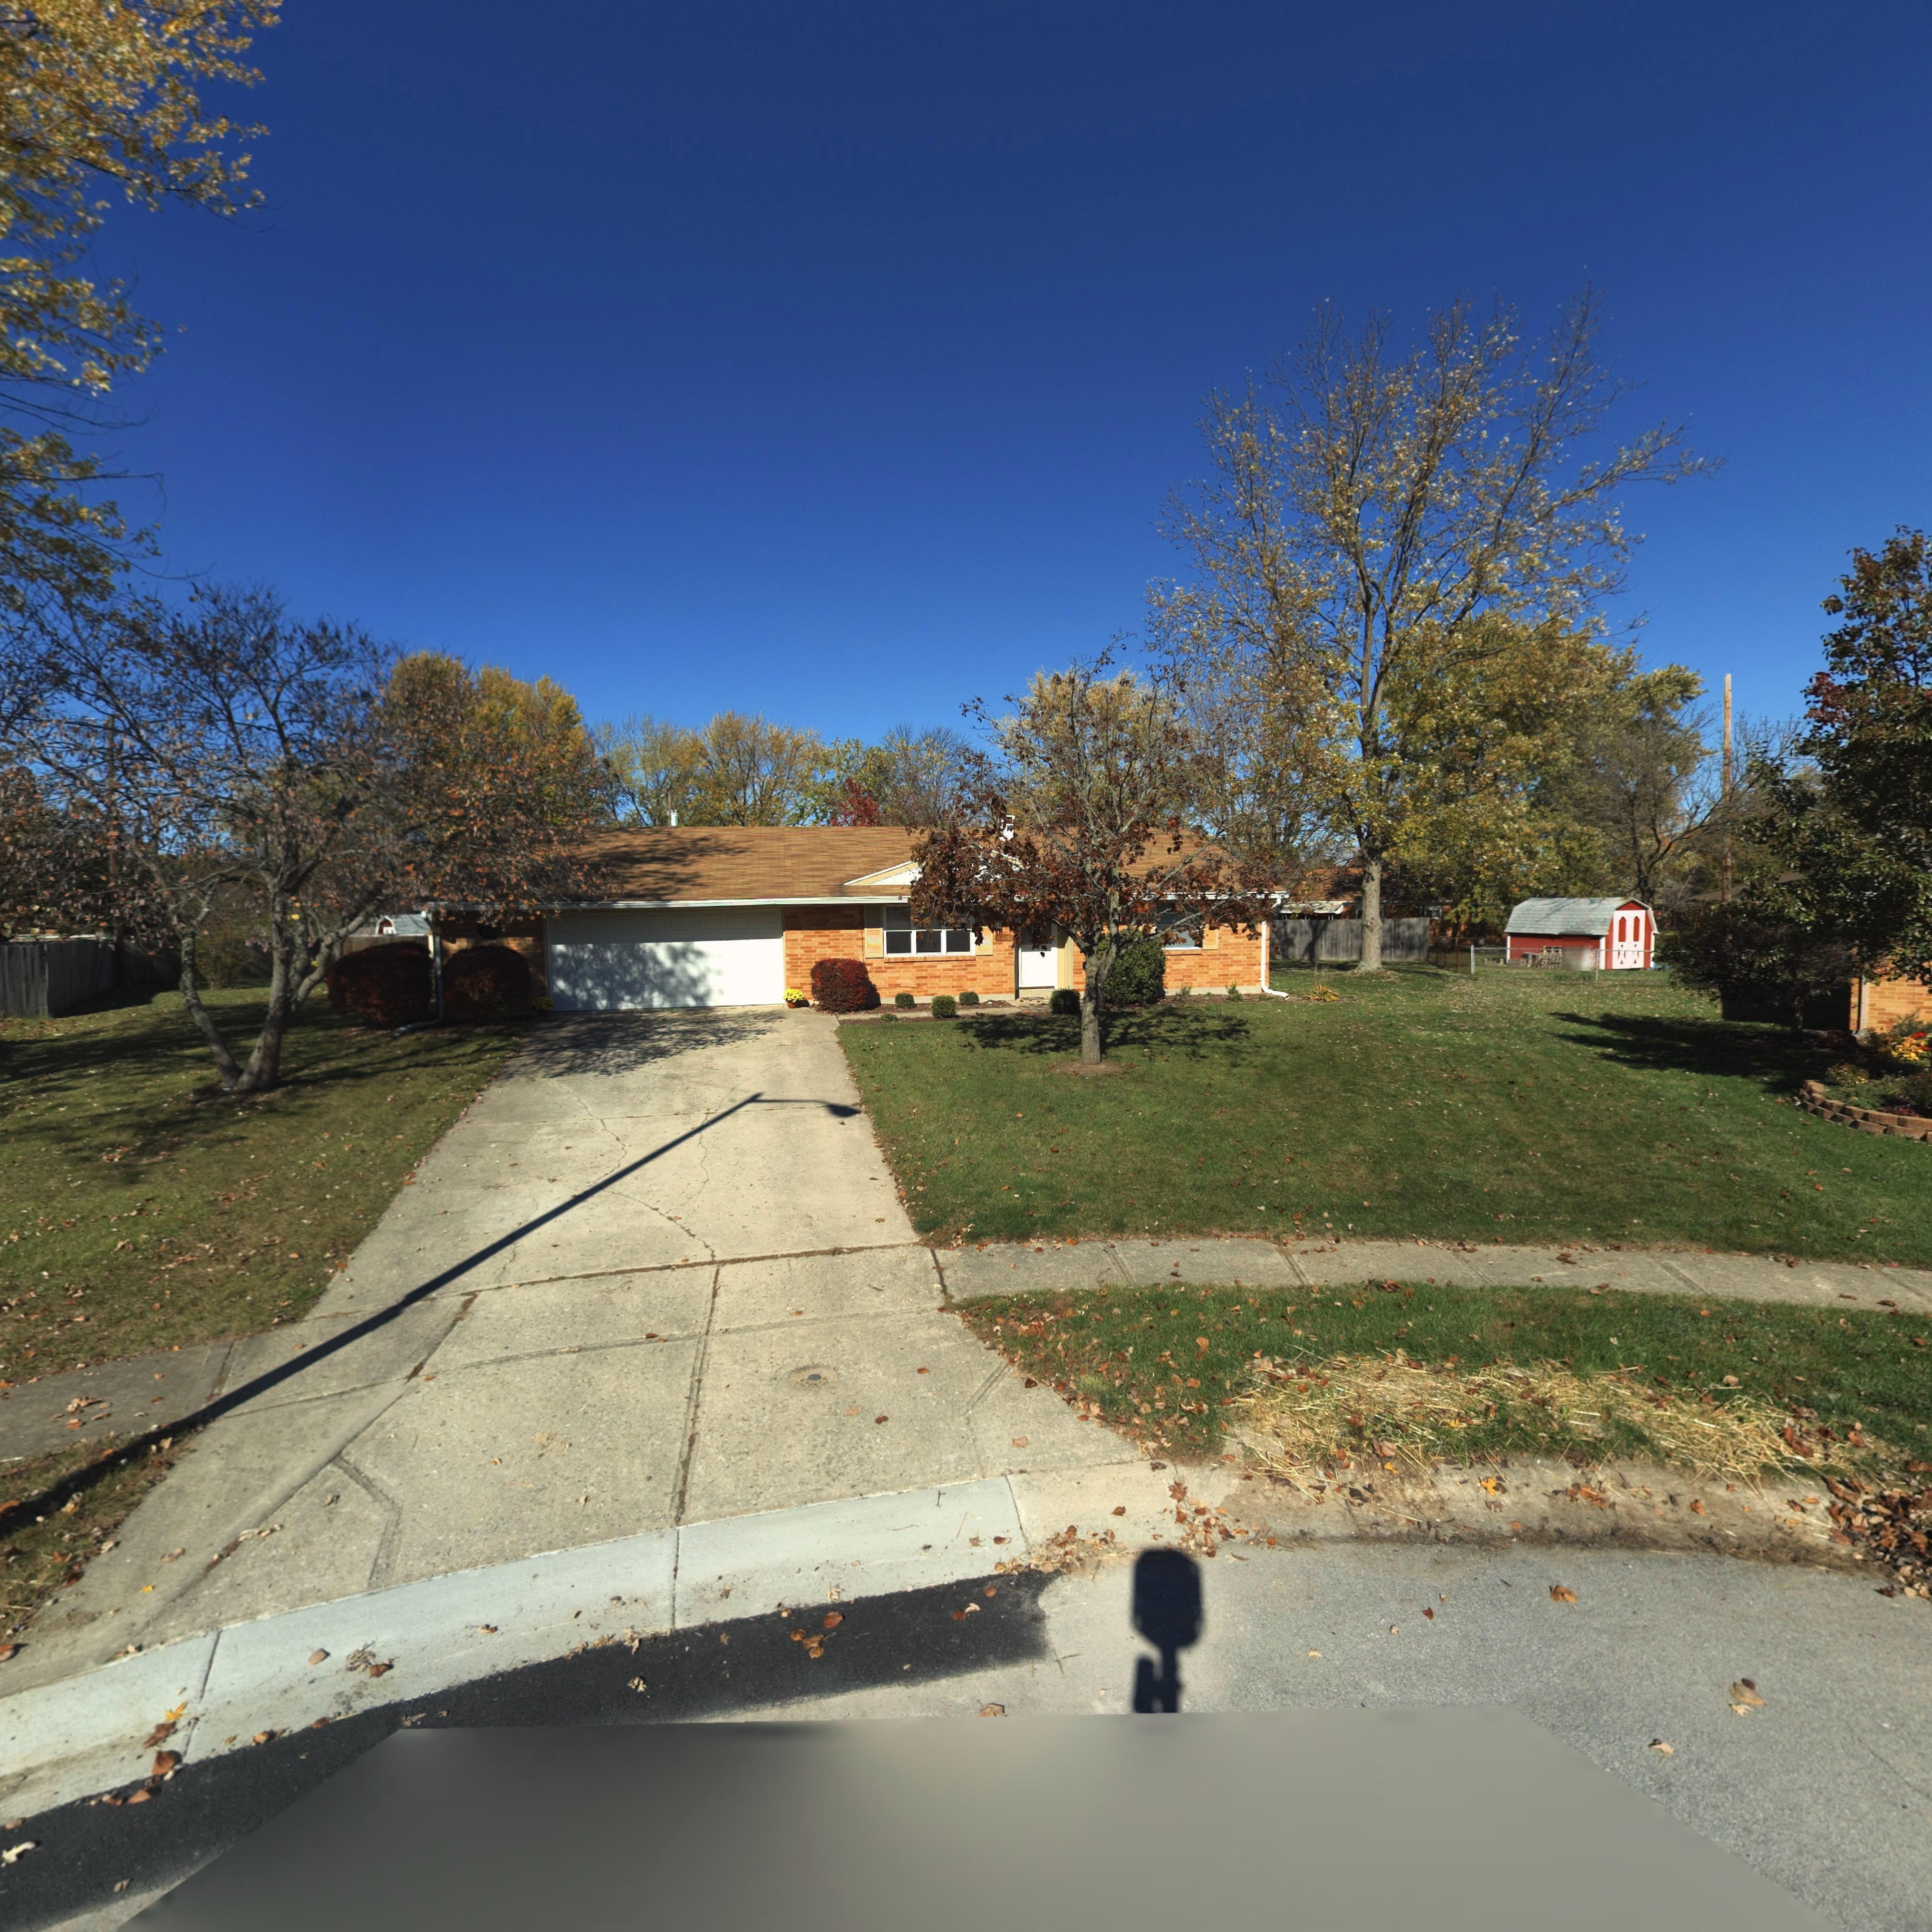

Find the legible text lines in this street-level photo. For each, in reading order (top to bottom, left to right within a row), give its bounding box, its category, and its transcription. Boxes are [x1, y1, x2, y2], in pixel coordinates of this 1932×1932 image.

[998, 934, 1011, 941] StreetNumber: *0*